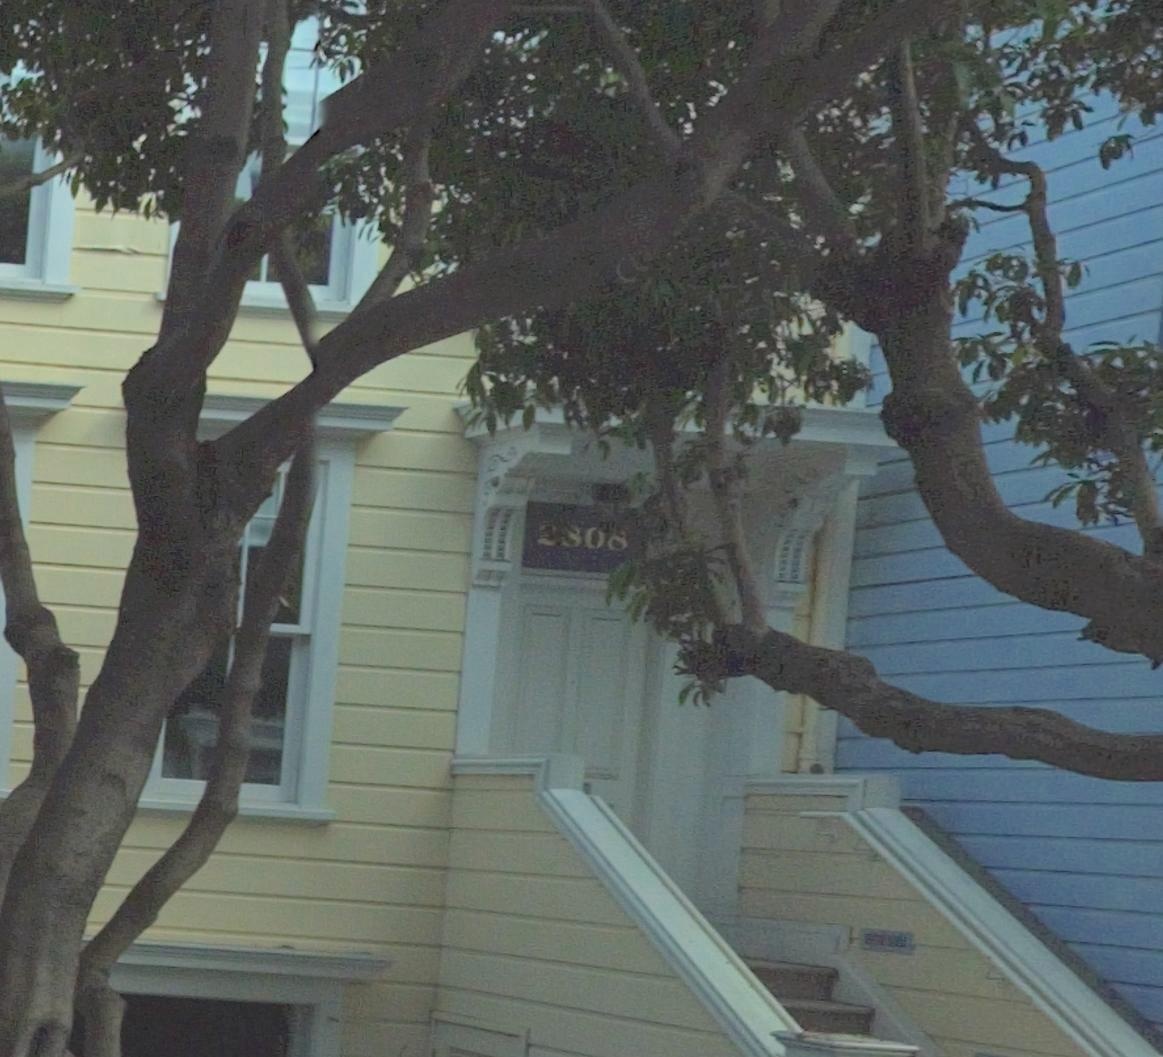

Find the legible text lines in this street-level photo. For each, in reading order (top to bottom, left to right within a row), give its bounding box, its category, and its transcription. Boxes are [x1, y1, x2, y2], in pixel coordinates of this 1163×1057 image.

[532, 516, 632, 557] StreetNumber: **0*